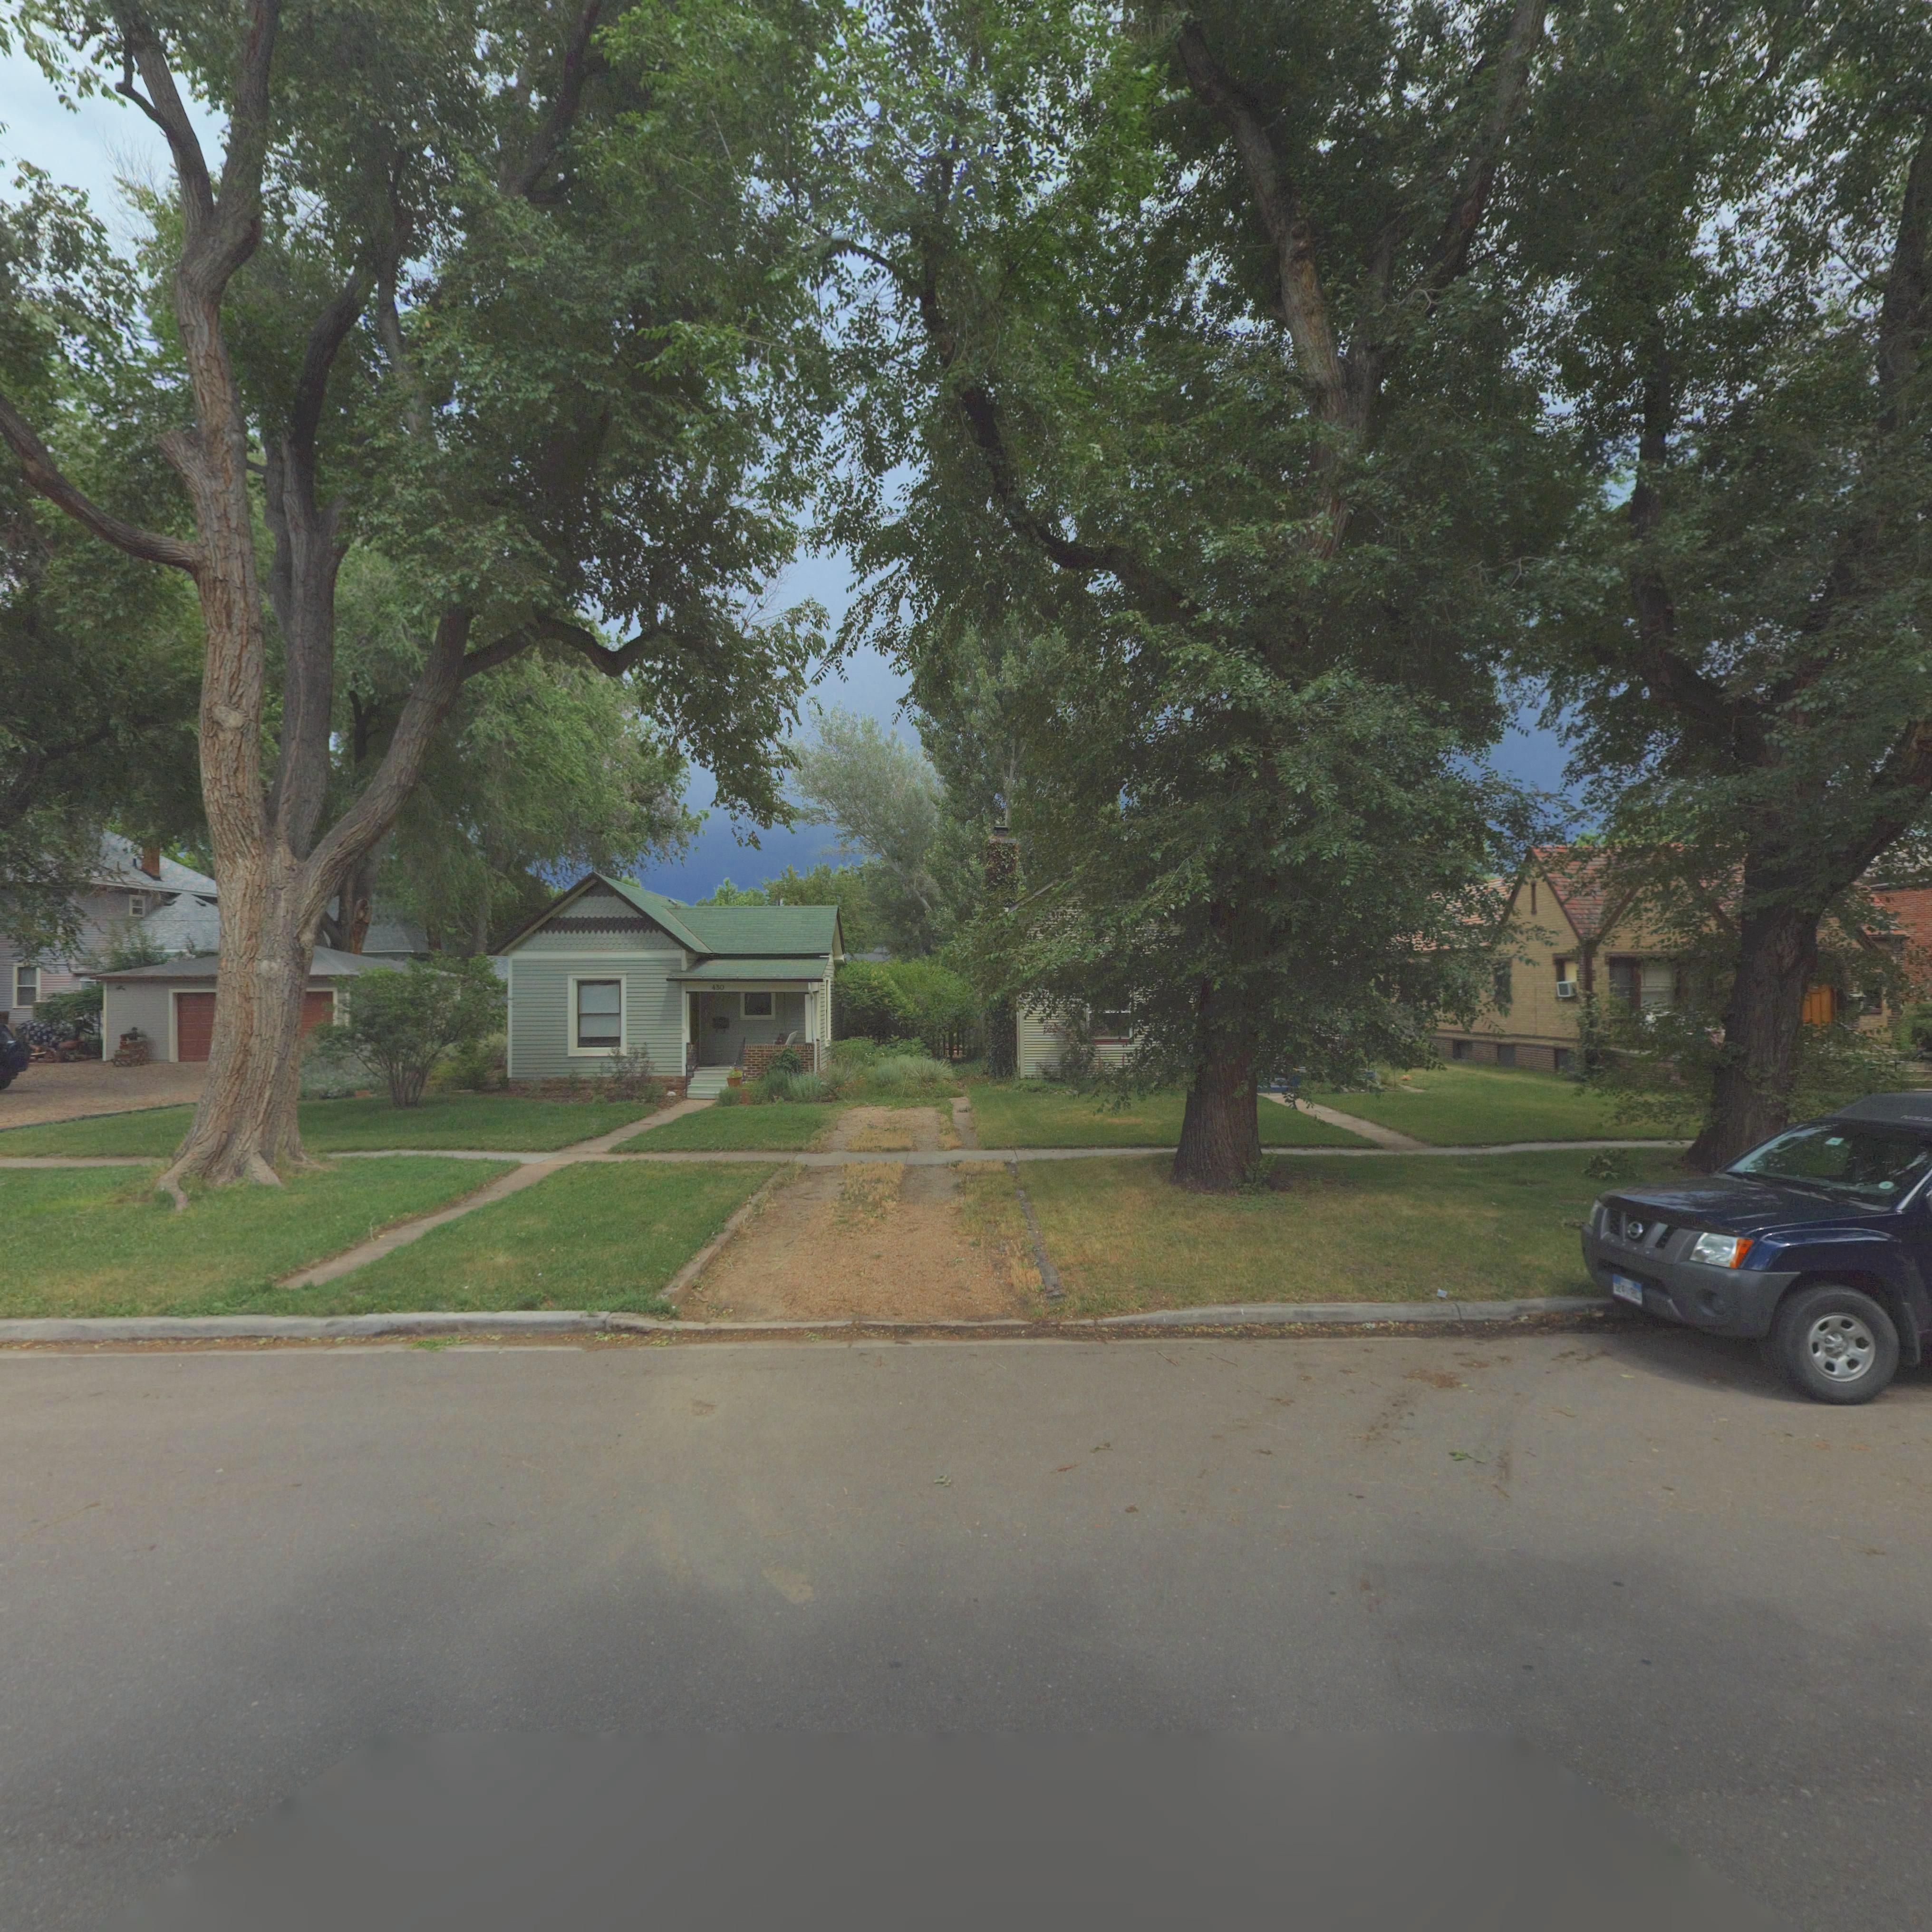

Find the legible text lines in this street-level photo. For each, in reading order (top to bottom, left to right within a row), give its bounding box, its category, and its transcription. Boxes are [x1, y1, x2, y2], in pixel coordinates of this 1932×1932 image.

[711, 983, 724, 991] StreetNumber: 430